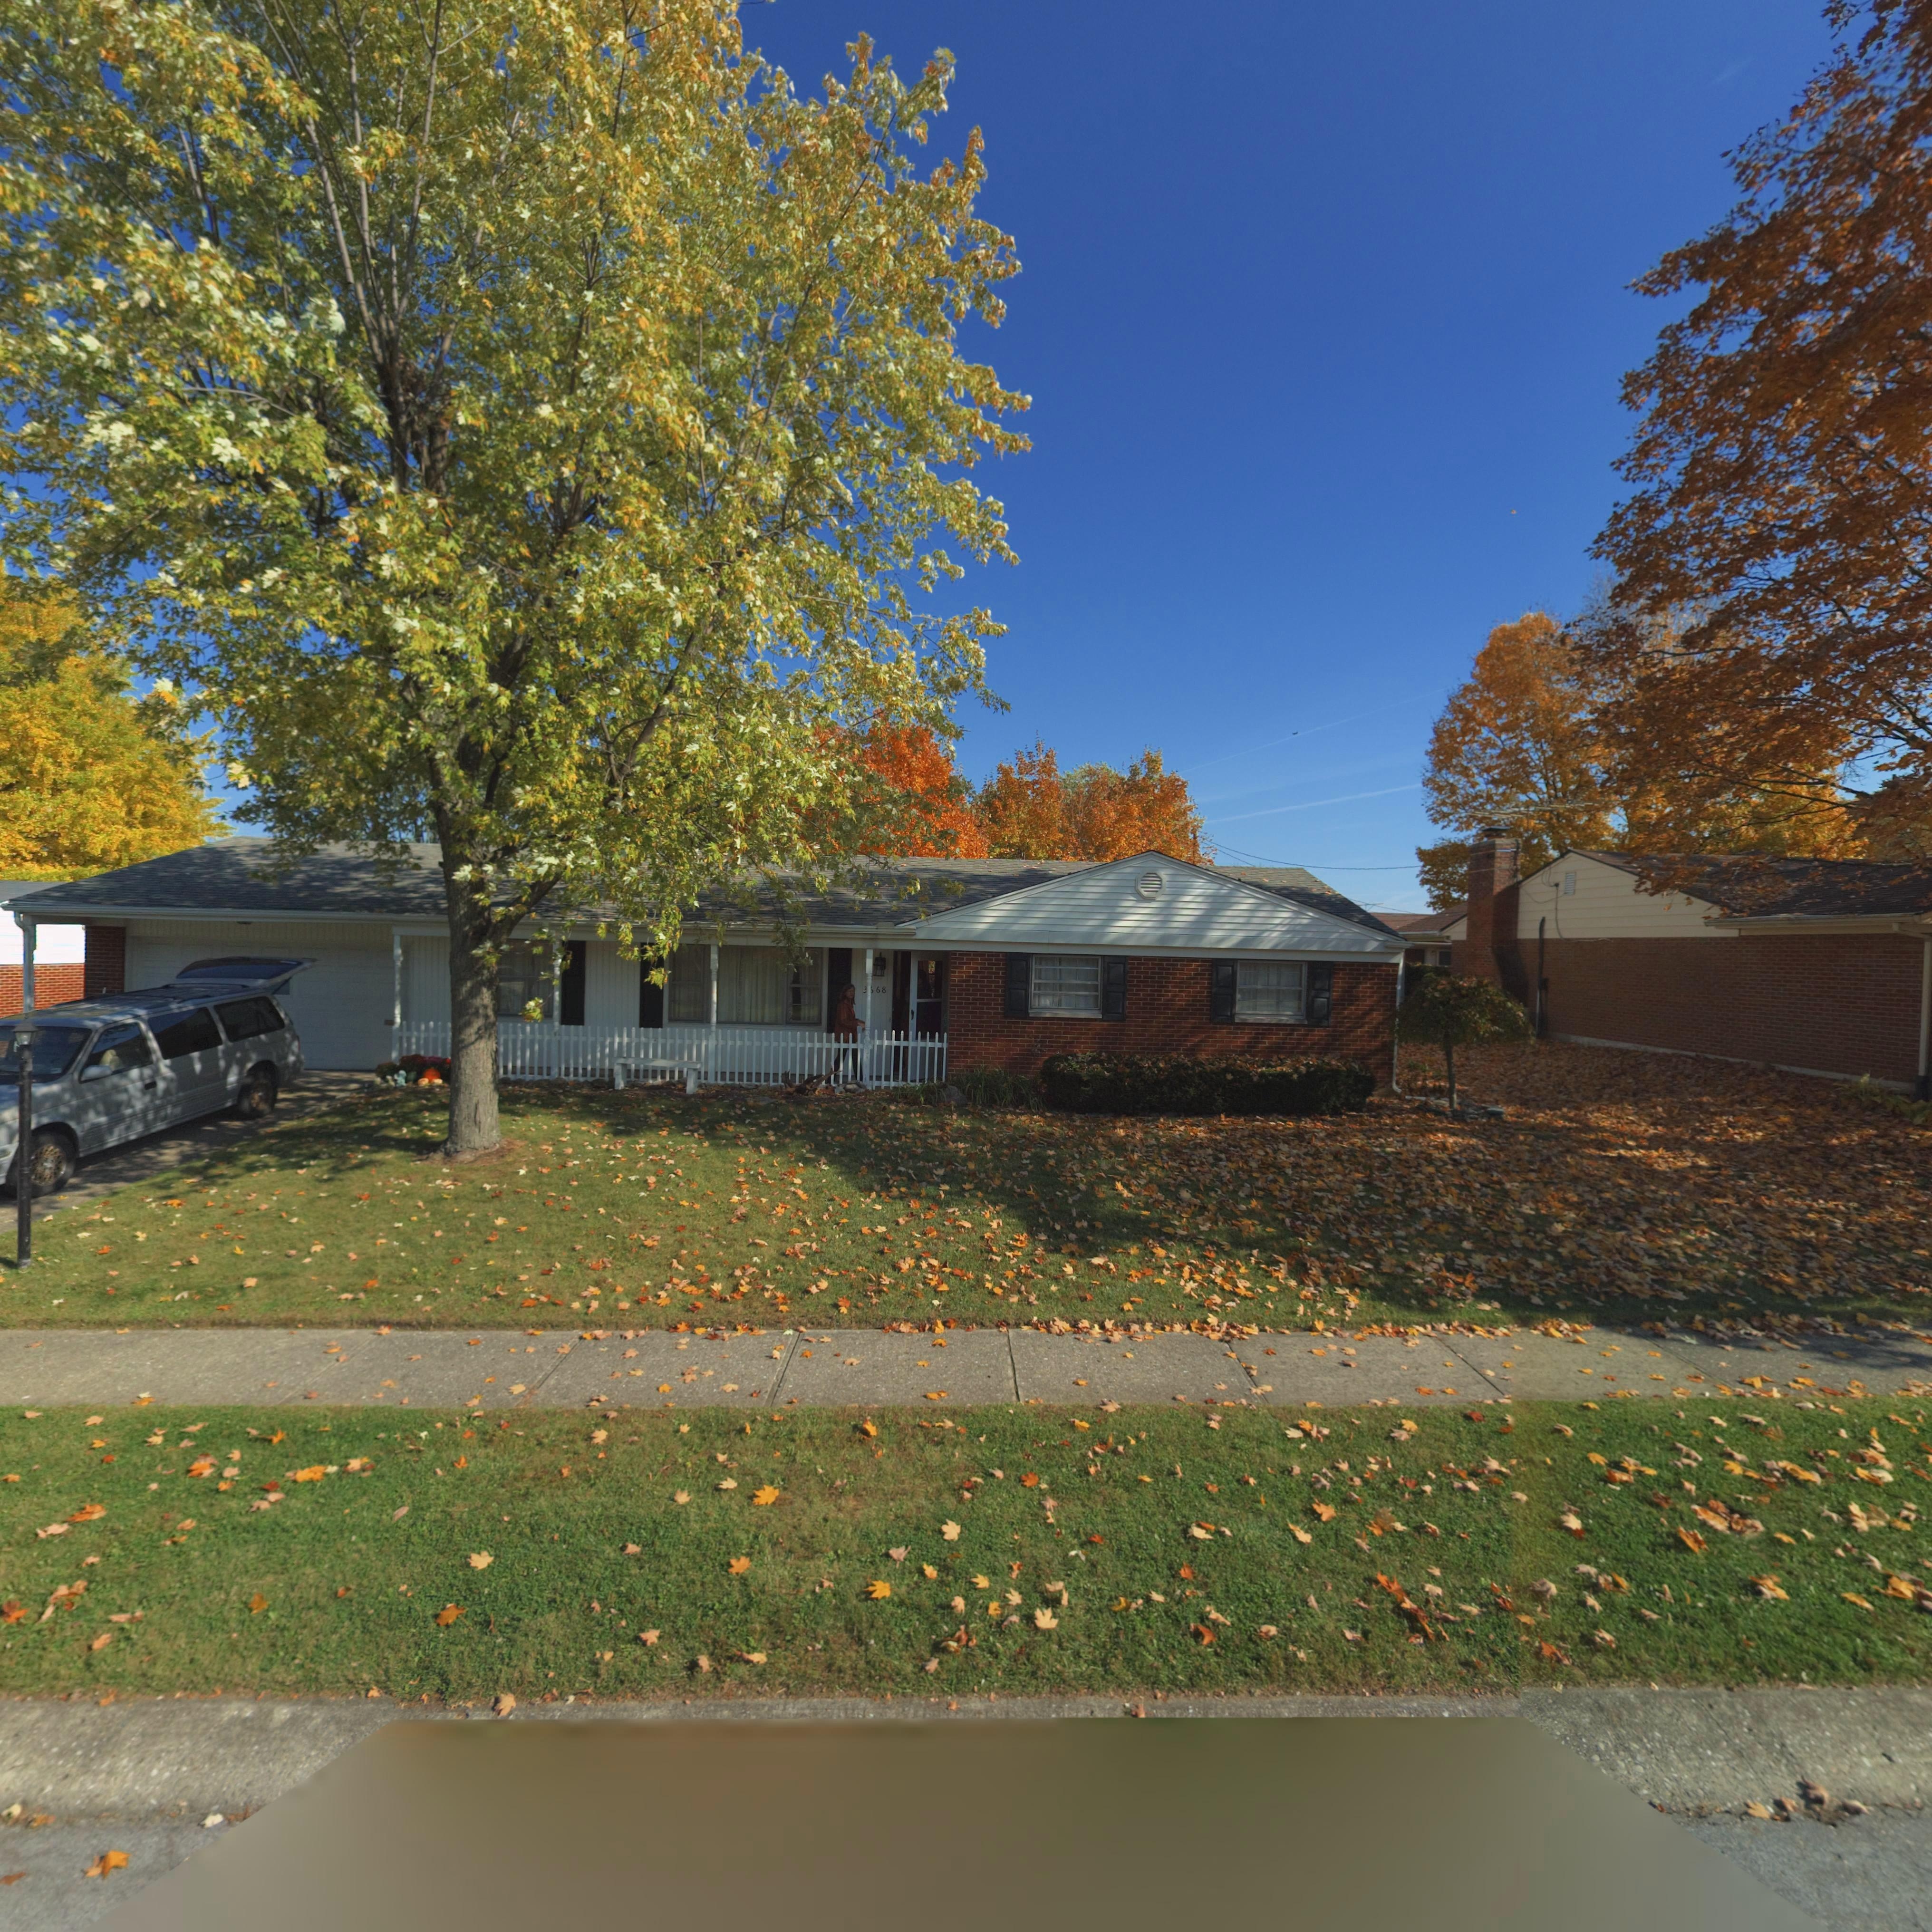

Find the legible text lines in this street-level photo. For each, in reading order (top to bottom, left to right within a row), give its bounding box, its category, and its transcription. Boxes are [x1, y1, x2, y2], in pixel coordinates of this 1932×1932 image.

[862, 985, 887, 994] StreetNumber: 3*68